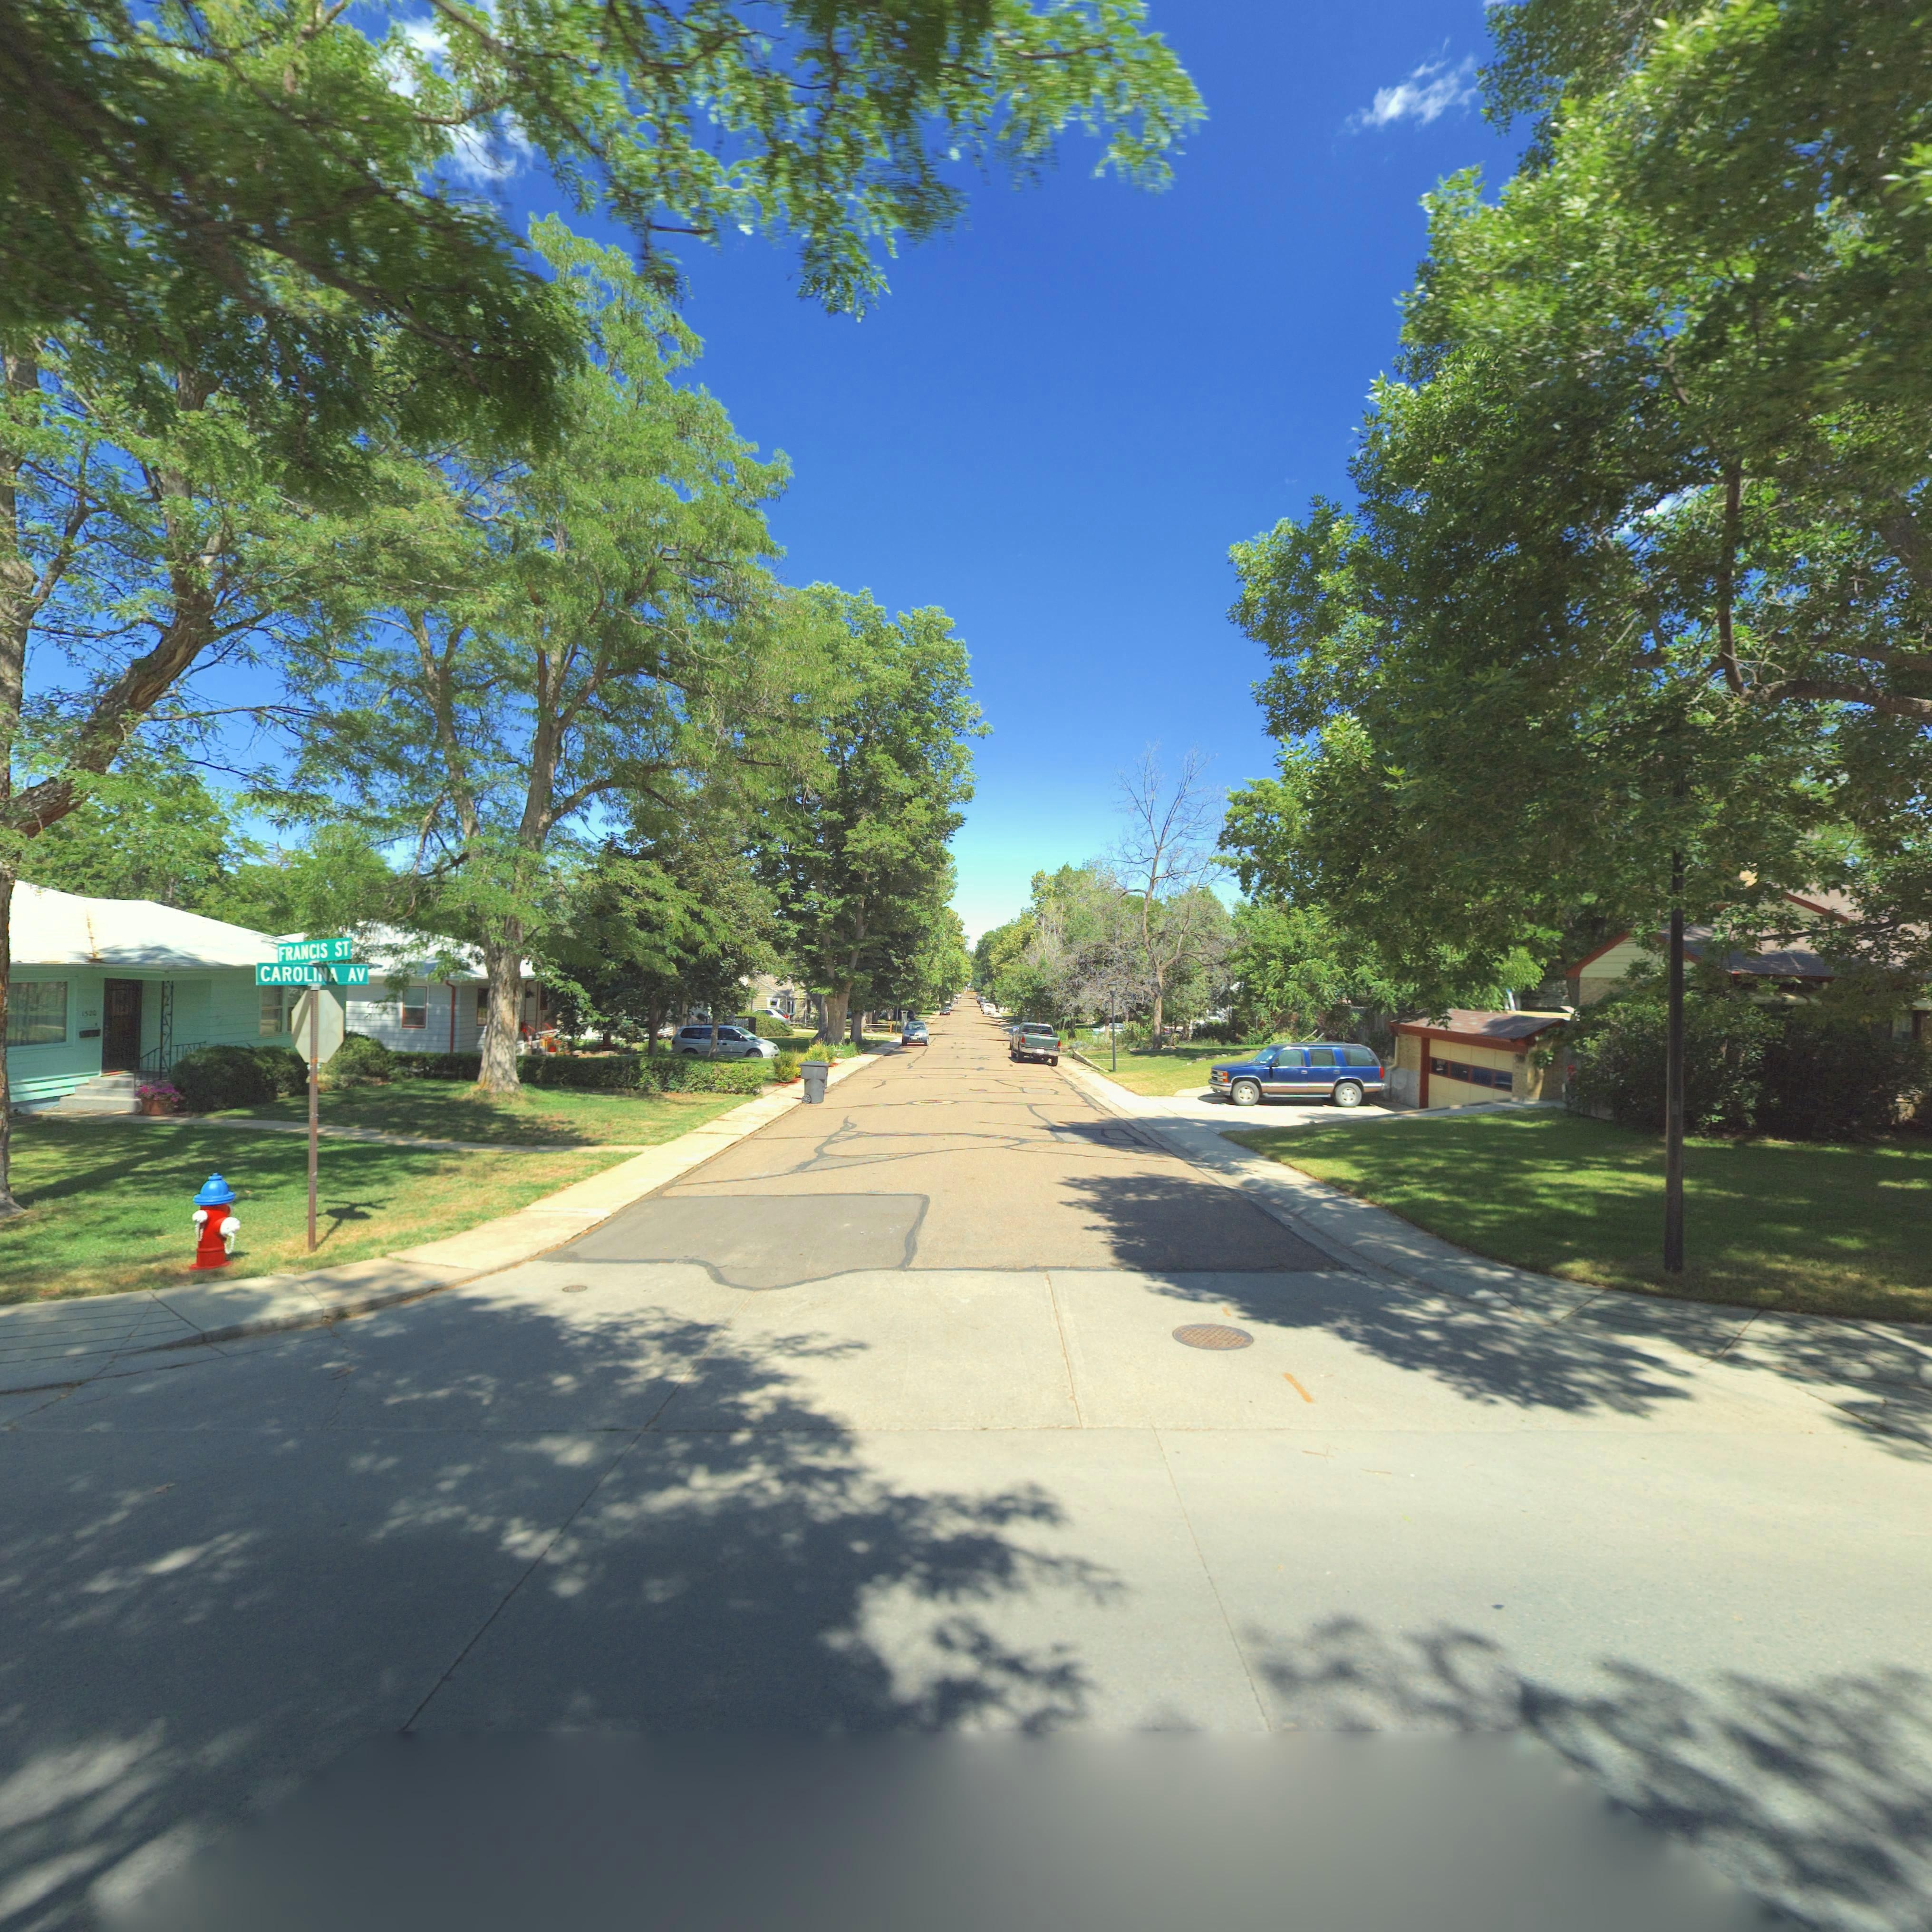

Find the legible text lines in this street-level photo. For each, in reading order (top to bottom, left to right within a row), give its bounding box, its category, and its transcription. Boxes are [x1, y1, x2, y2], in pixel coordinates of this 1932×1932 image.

[278, 939, 349, 962] StreetName: FRANCIS ST
[259, 965, 366, 982] StreetName: CAROLINA AV
[81, 1009, 97, 1017] StreetNumber: 15*0